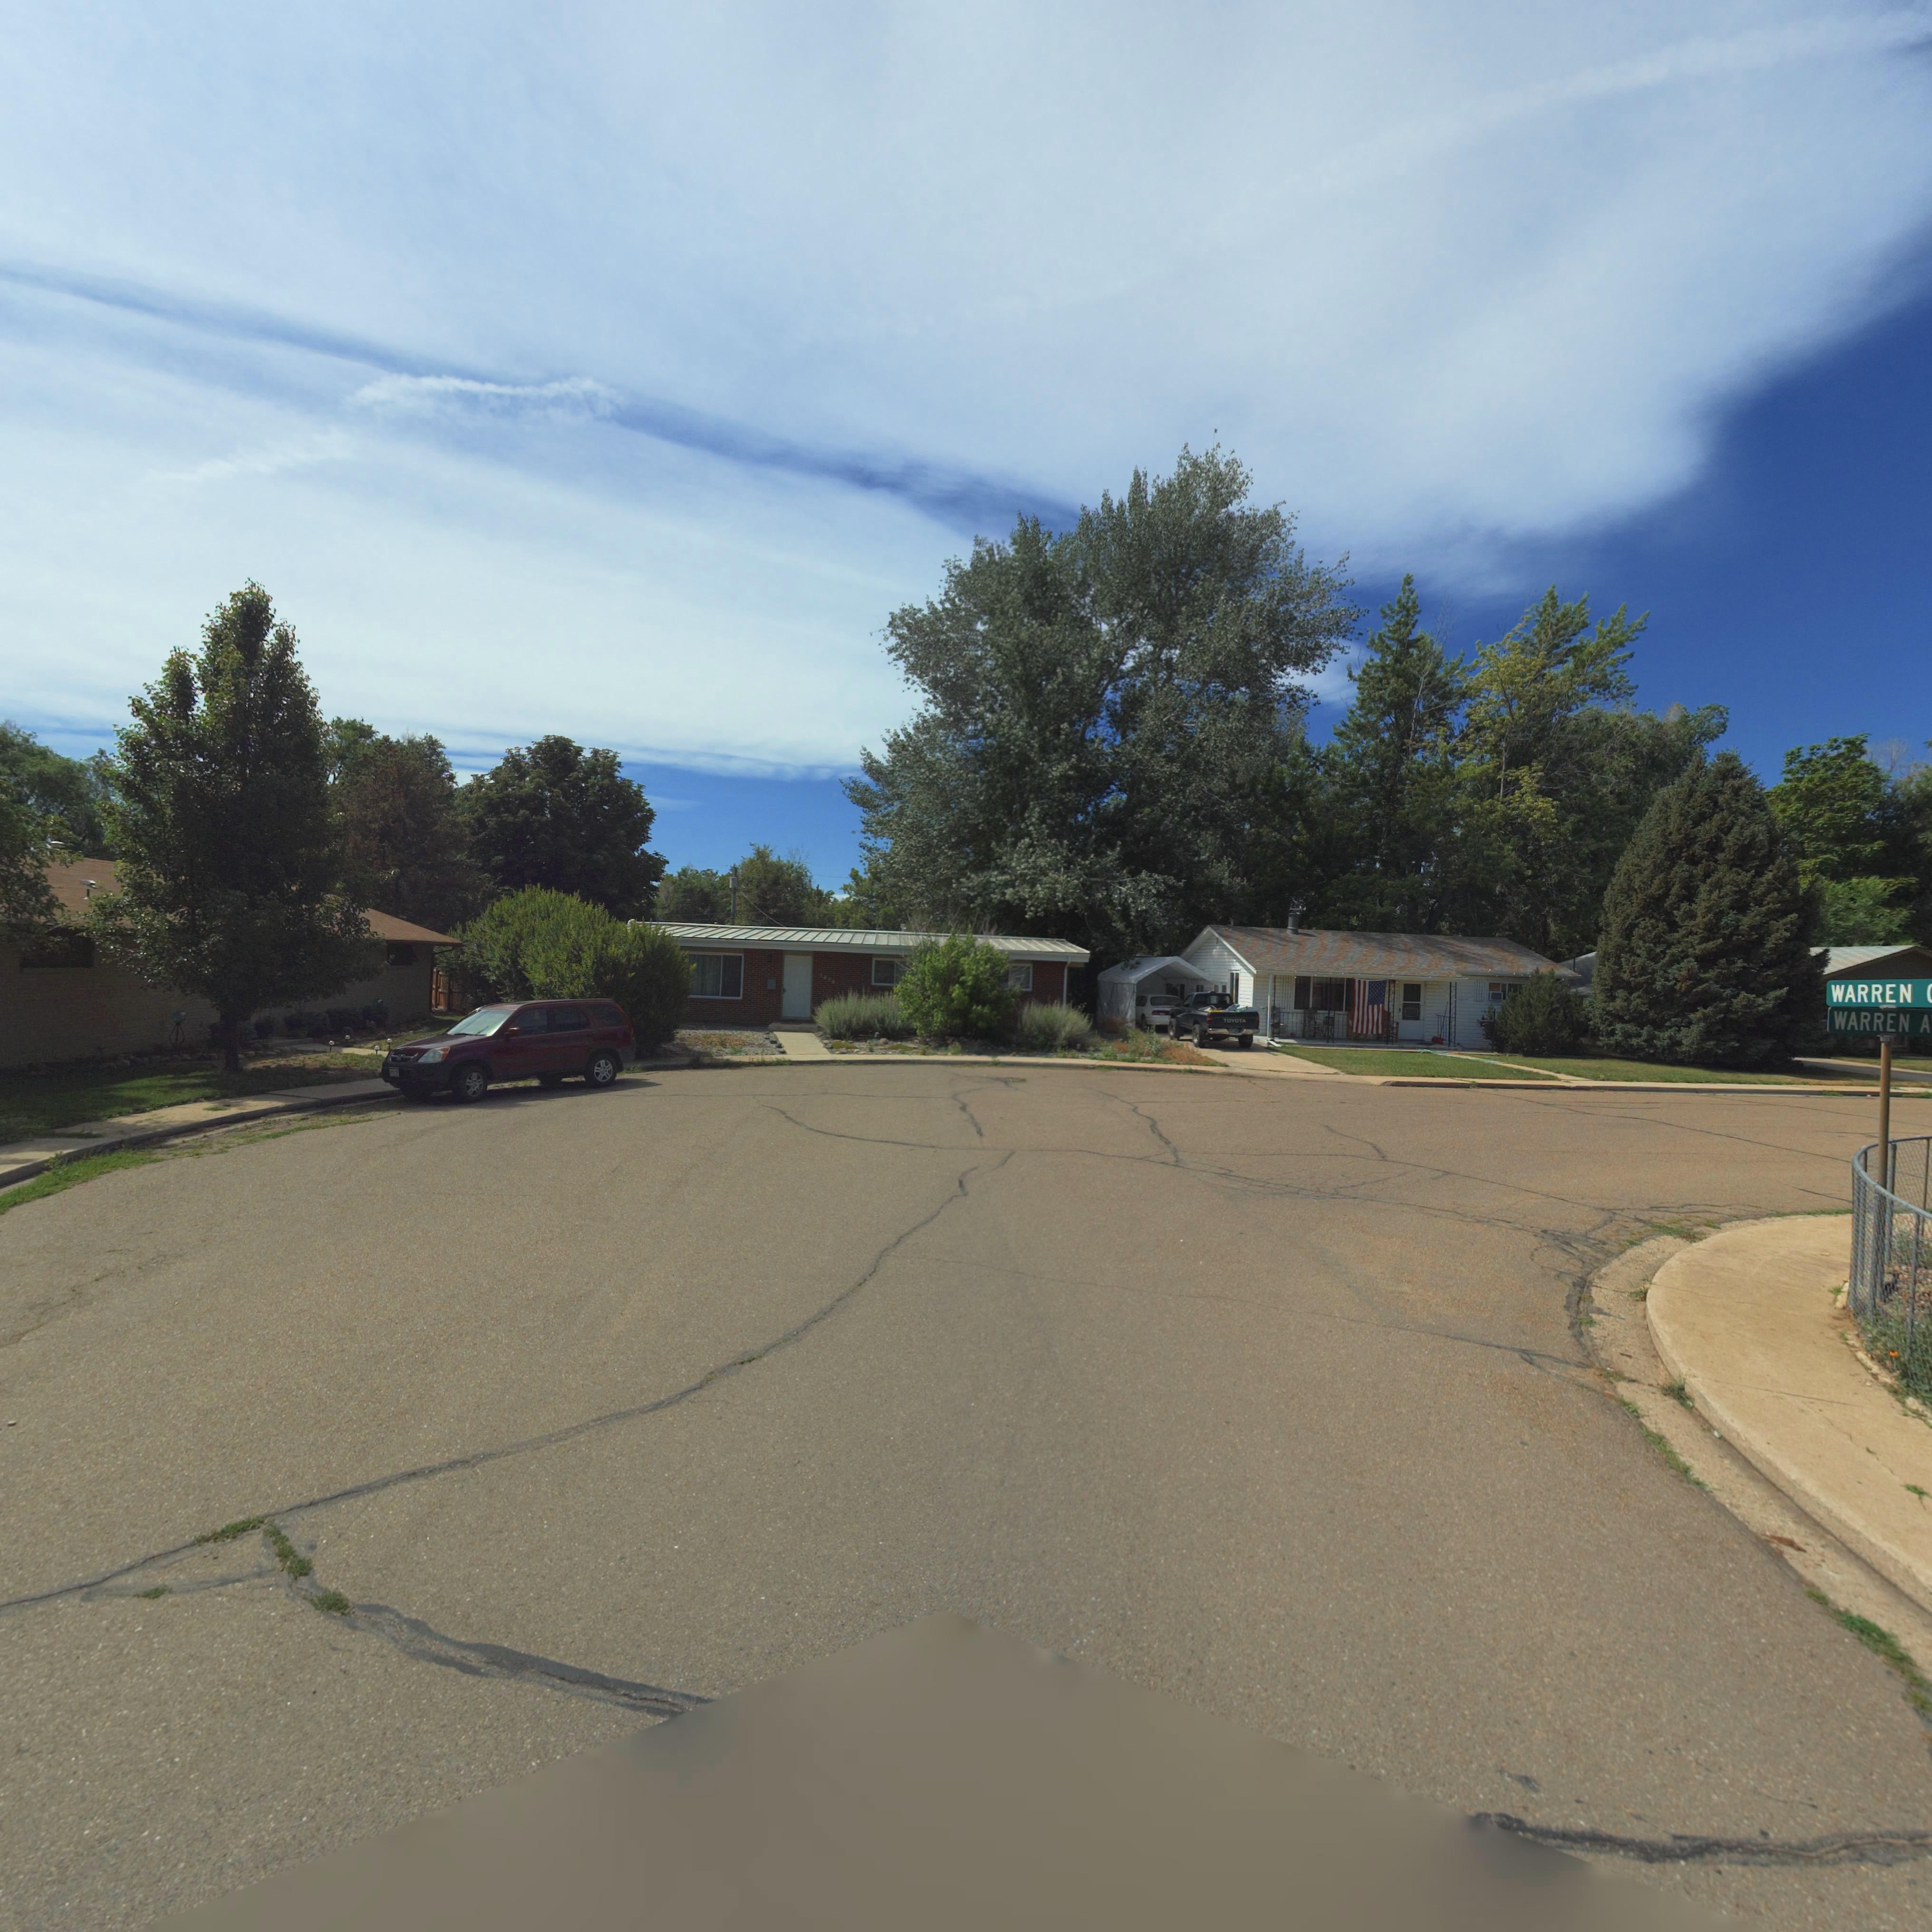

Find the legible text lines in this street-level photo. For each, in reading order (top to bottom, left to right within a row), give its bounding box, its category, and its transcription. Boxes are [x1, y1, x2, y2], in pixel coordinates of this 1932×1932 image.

[820, 972, 835, 984] StreetNumber: 14**
[1831, 983, 1912, 1003] StreetName: WARREN
[1834, 1011, 1931, 1033] StreetName: WARREN A